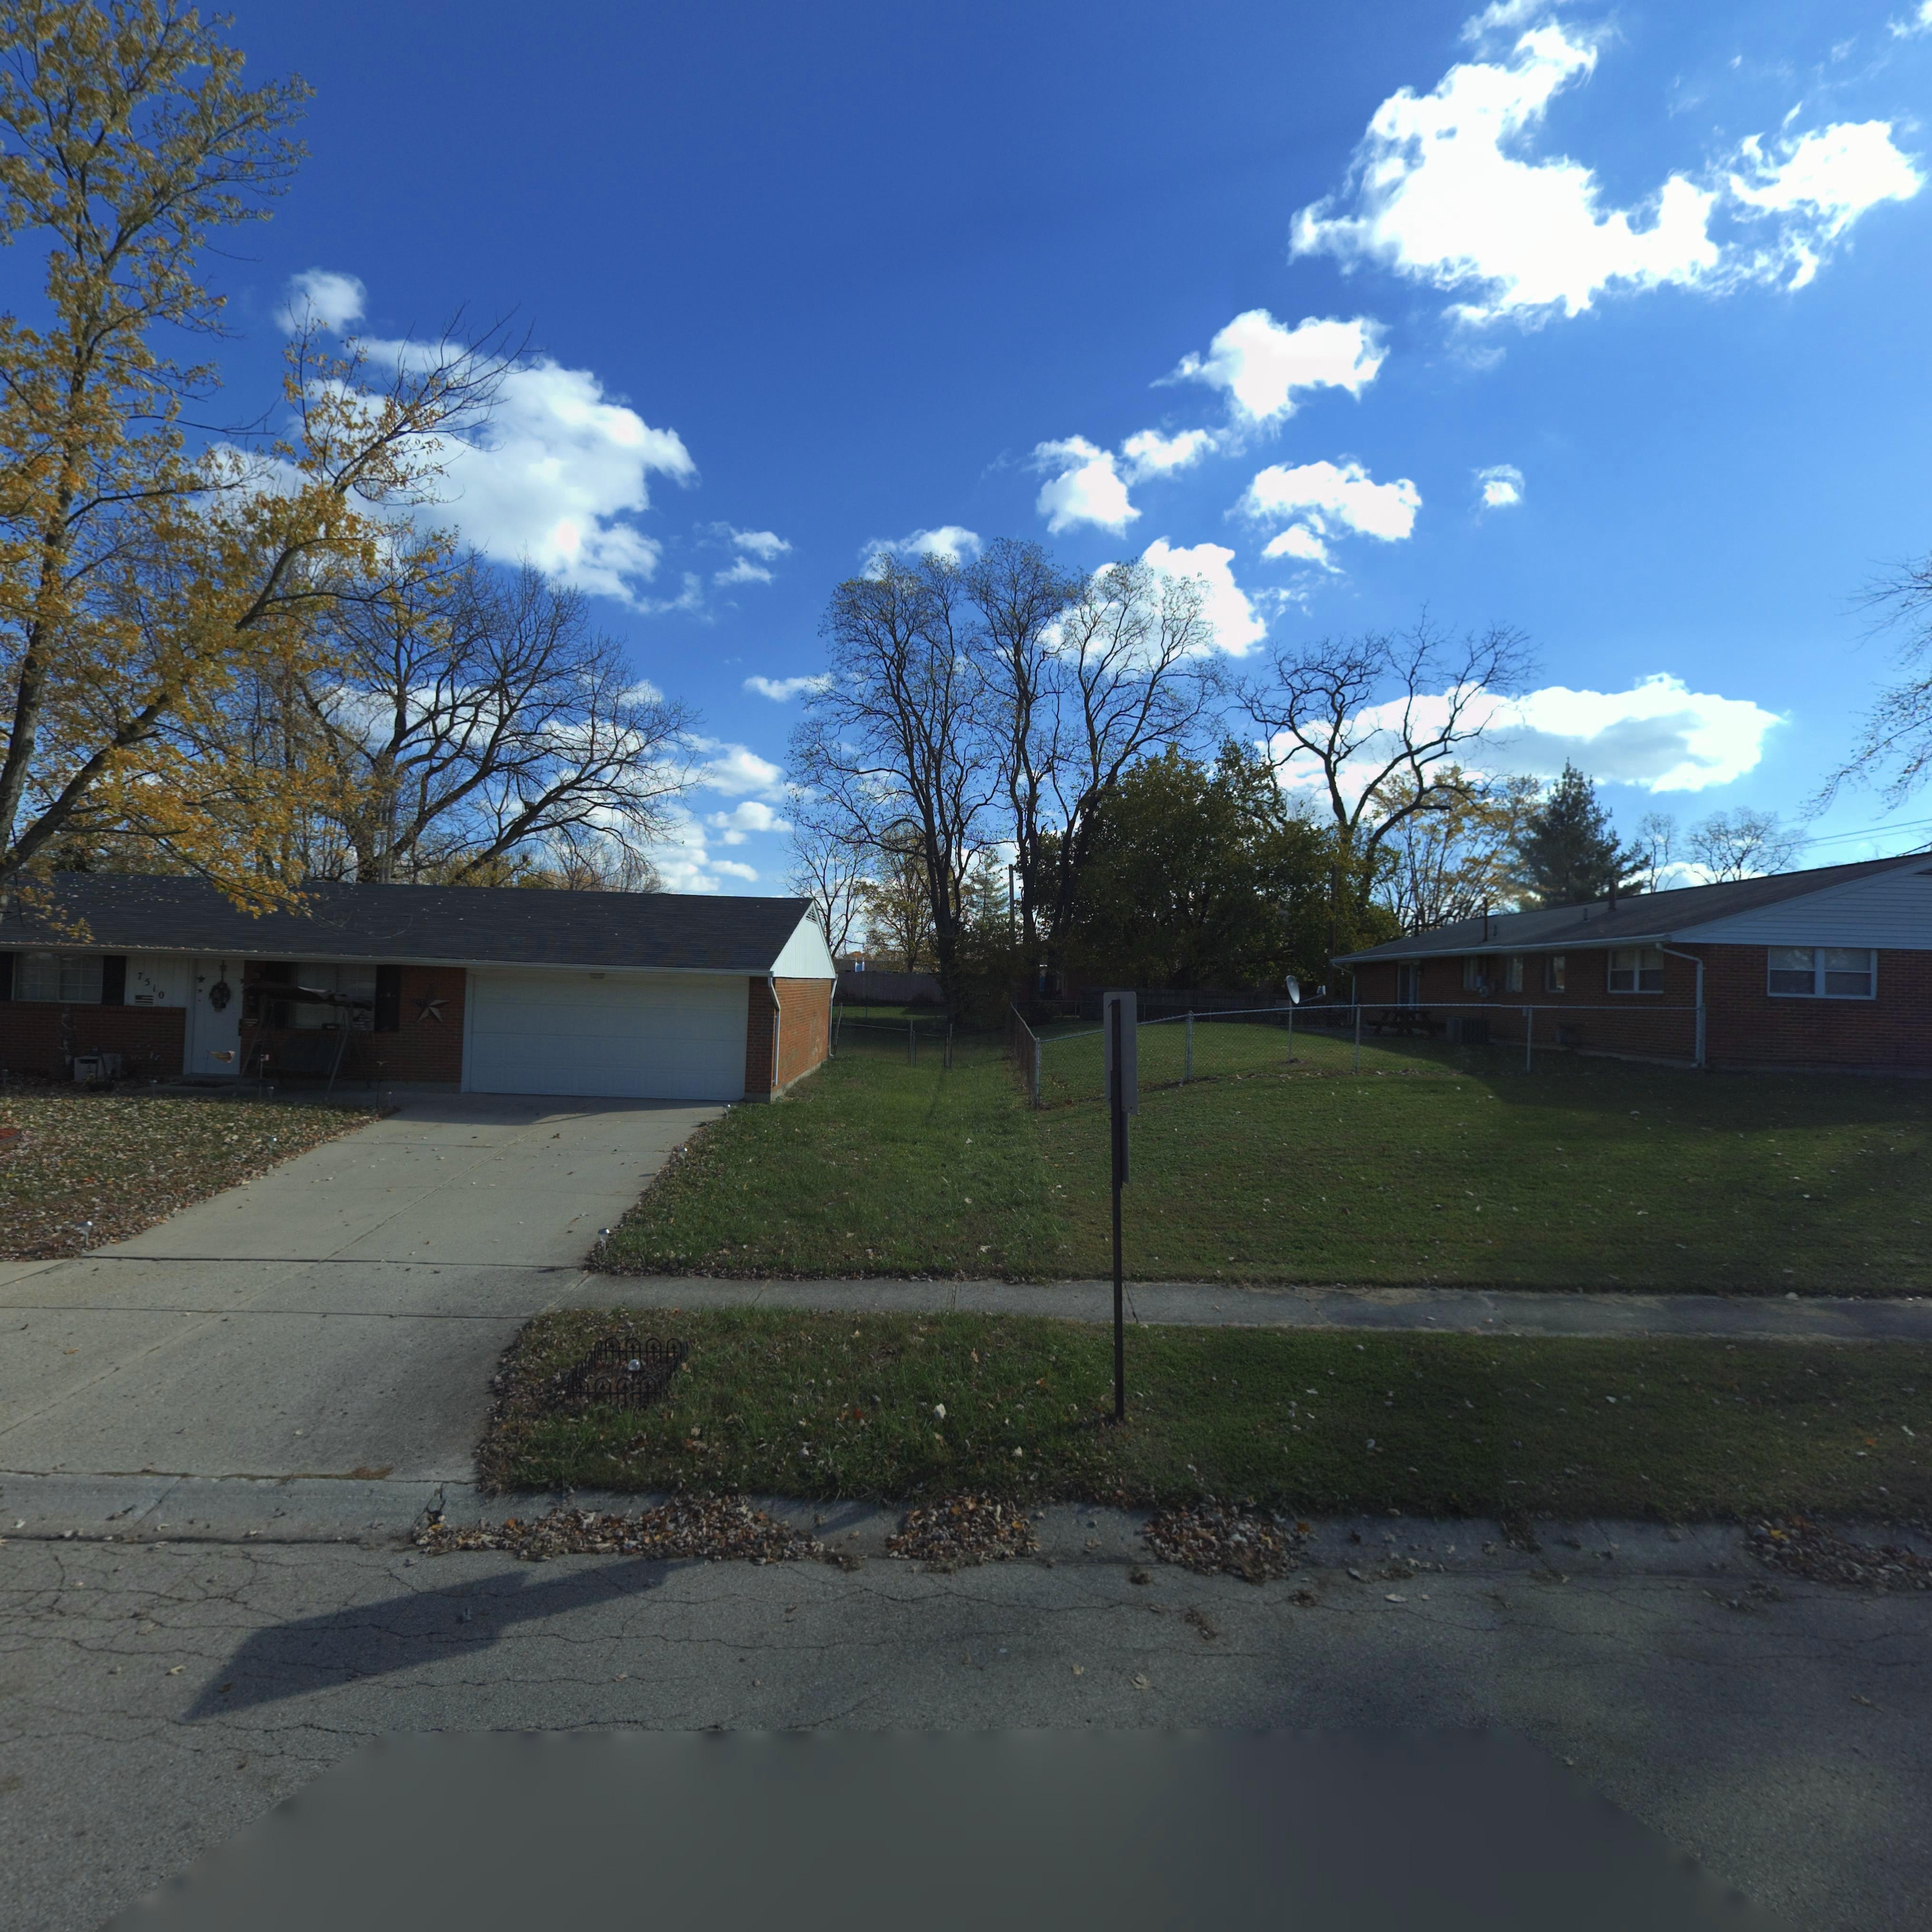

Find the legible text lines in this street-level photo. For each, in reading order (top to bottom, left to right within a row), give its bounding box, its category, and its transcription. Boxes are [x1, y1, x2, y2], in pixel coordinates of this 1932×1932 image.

[136, 971, 166, 1000] StreetNumber: 7510